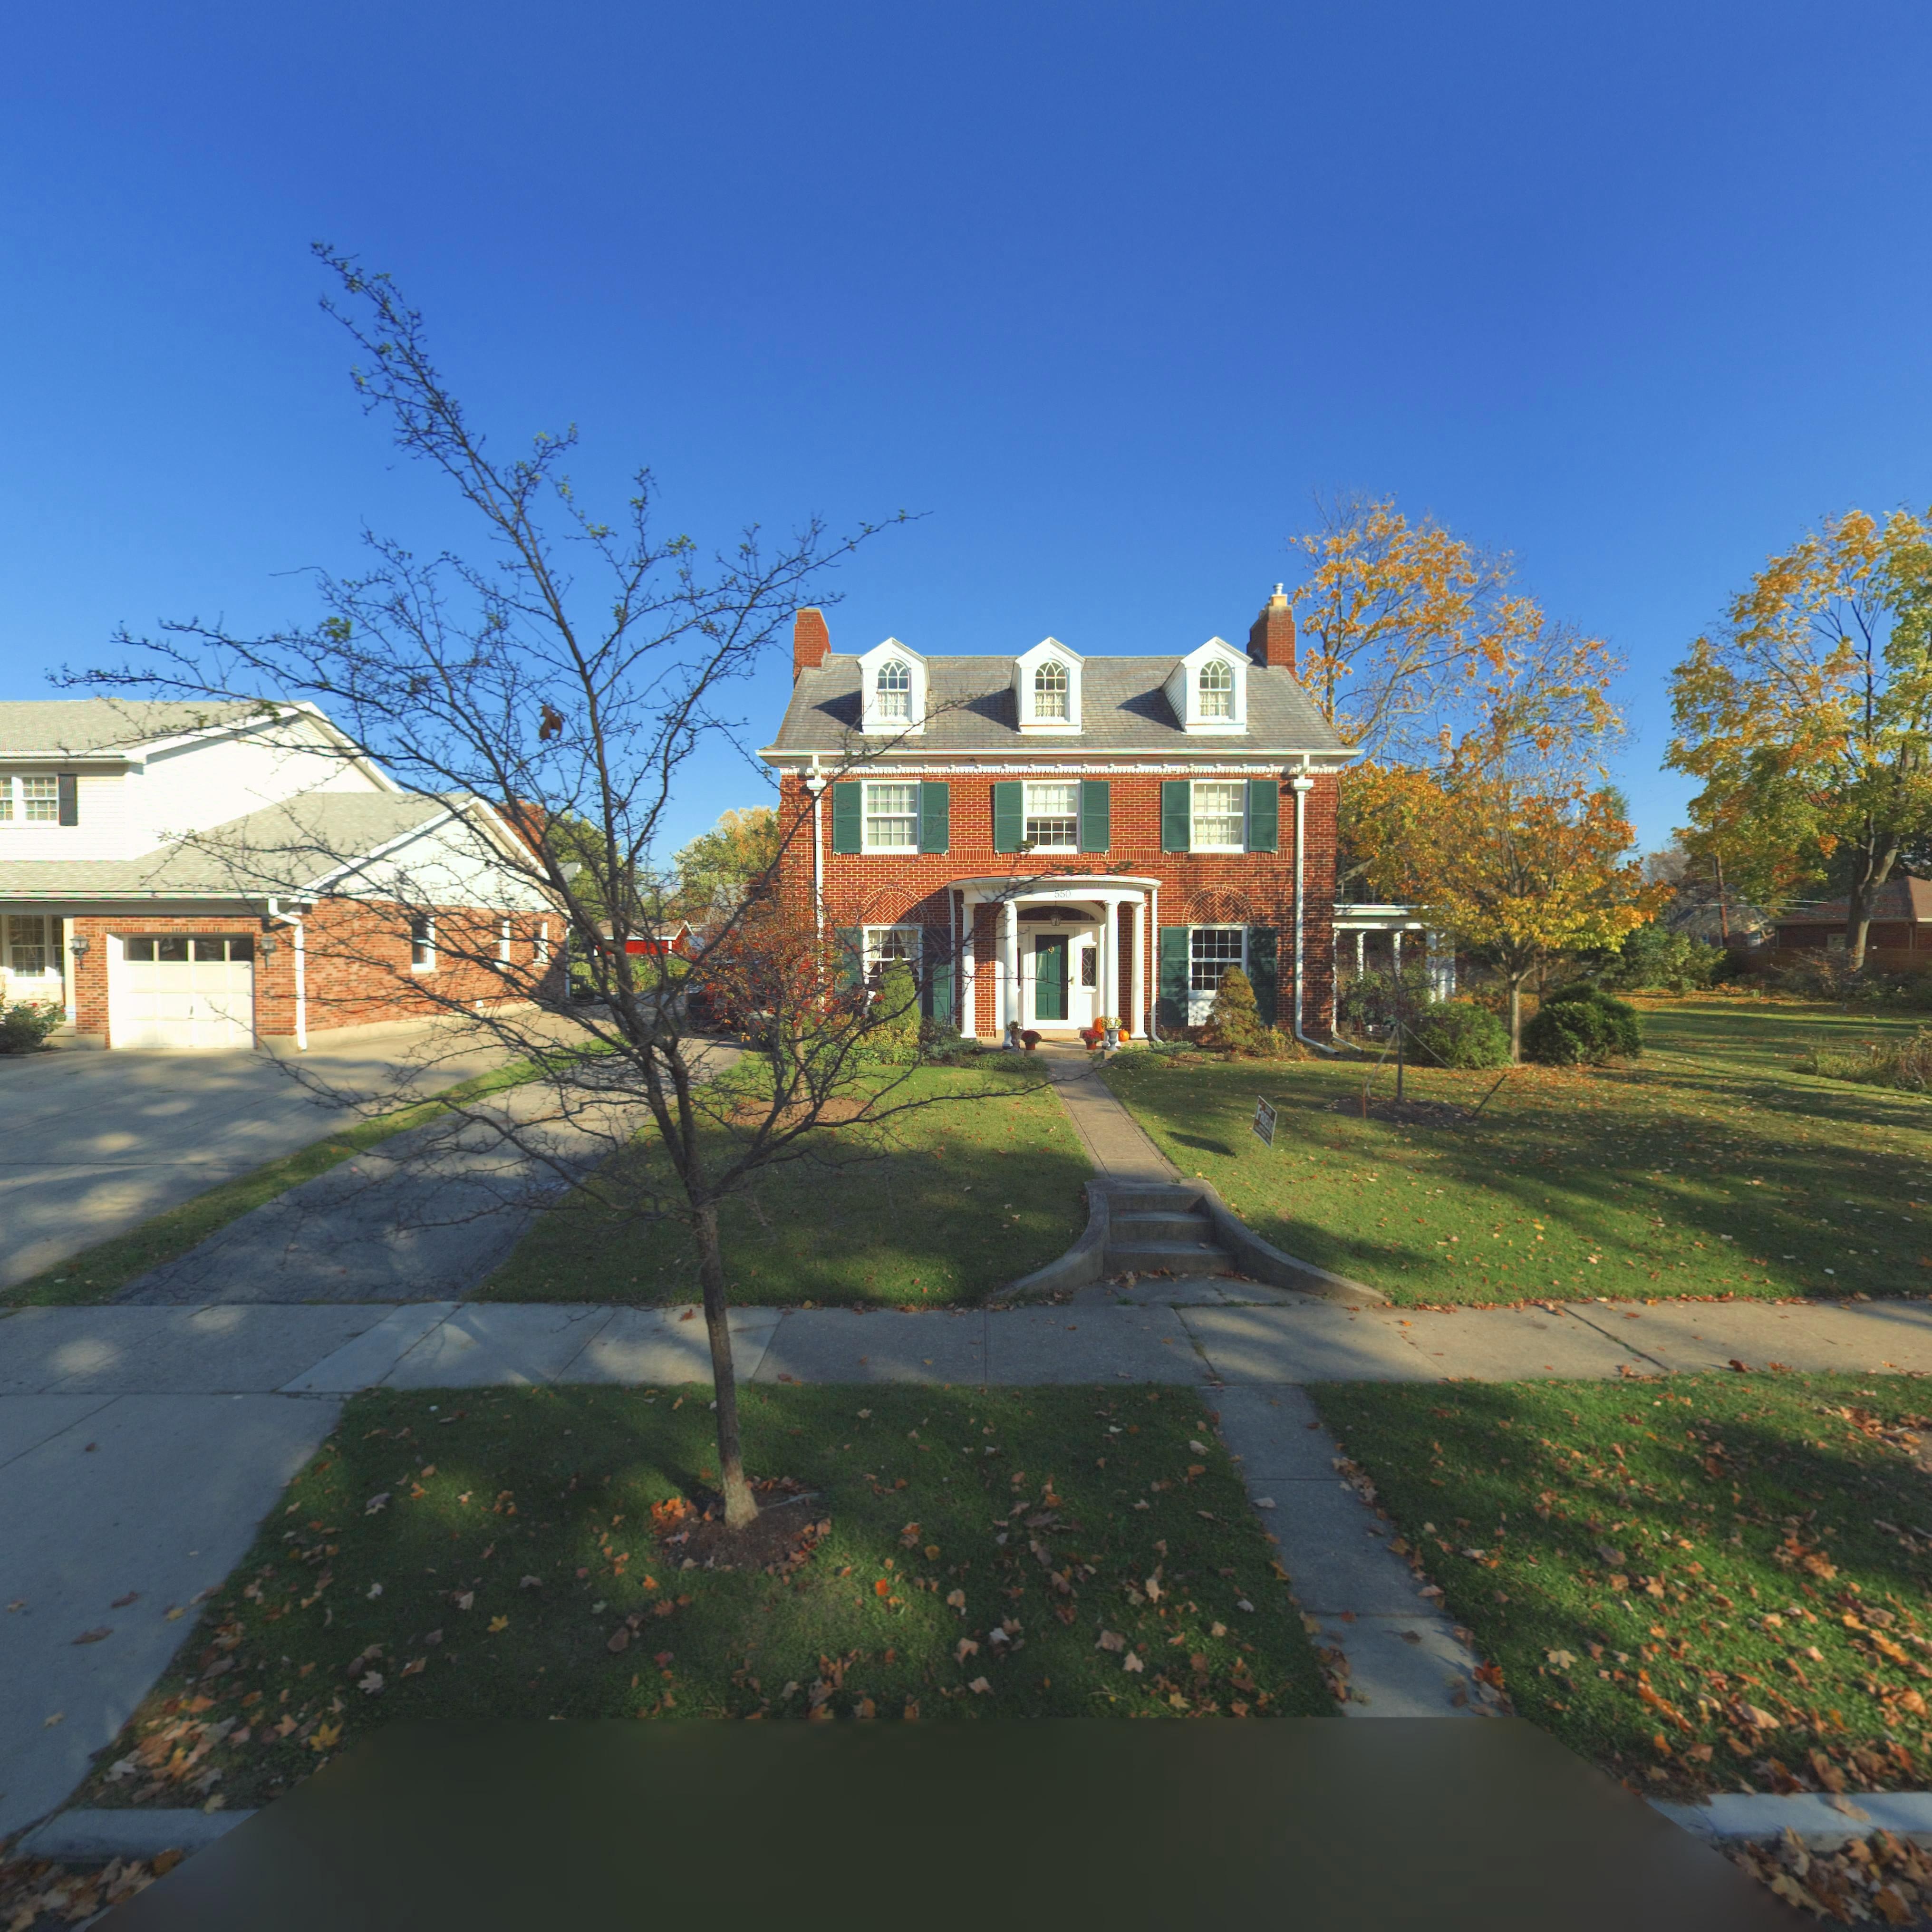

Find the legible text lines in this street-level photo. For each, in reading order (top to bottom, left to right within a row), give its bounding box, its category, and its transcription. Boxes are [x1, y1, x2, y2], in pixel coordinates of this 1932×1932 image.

[1054, 889, 1072, 898] StreetNumber: 550